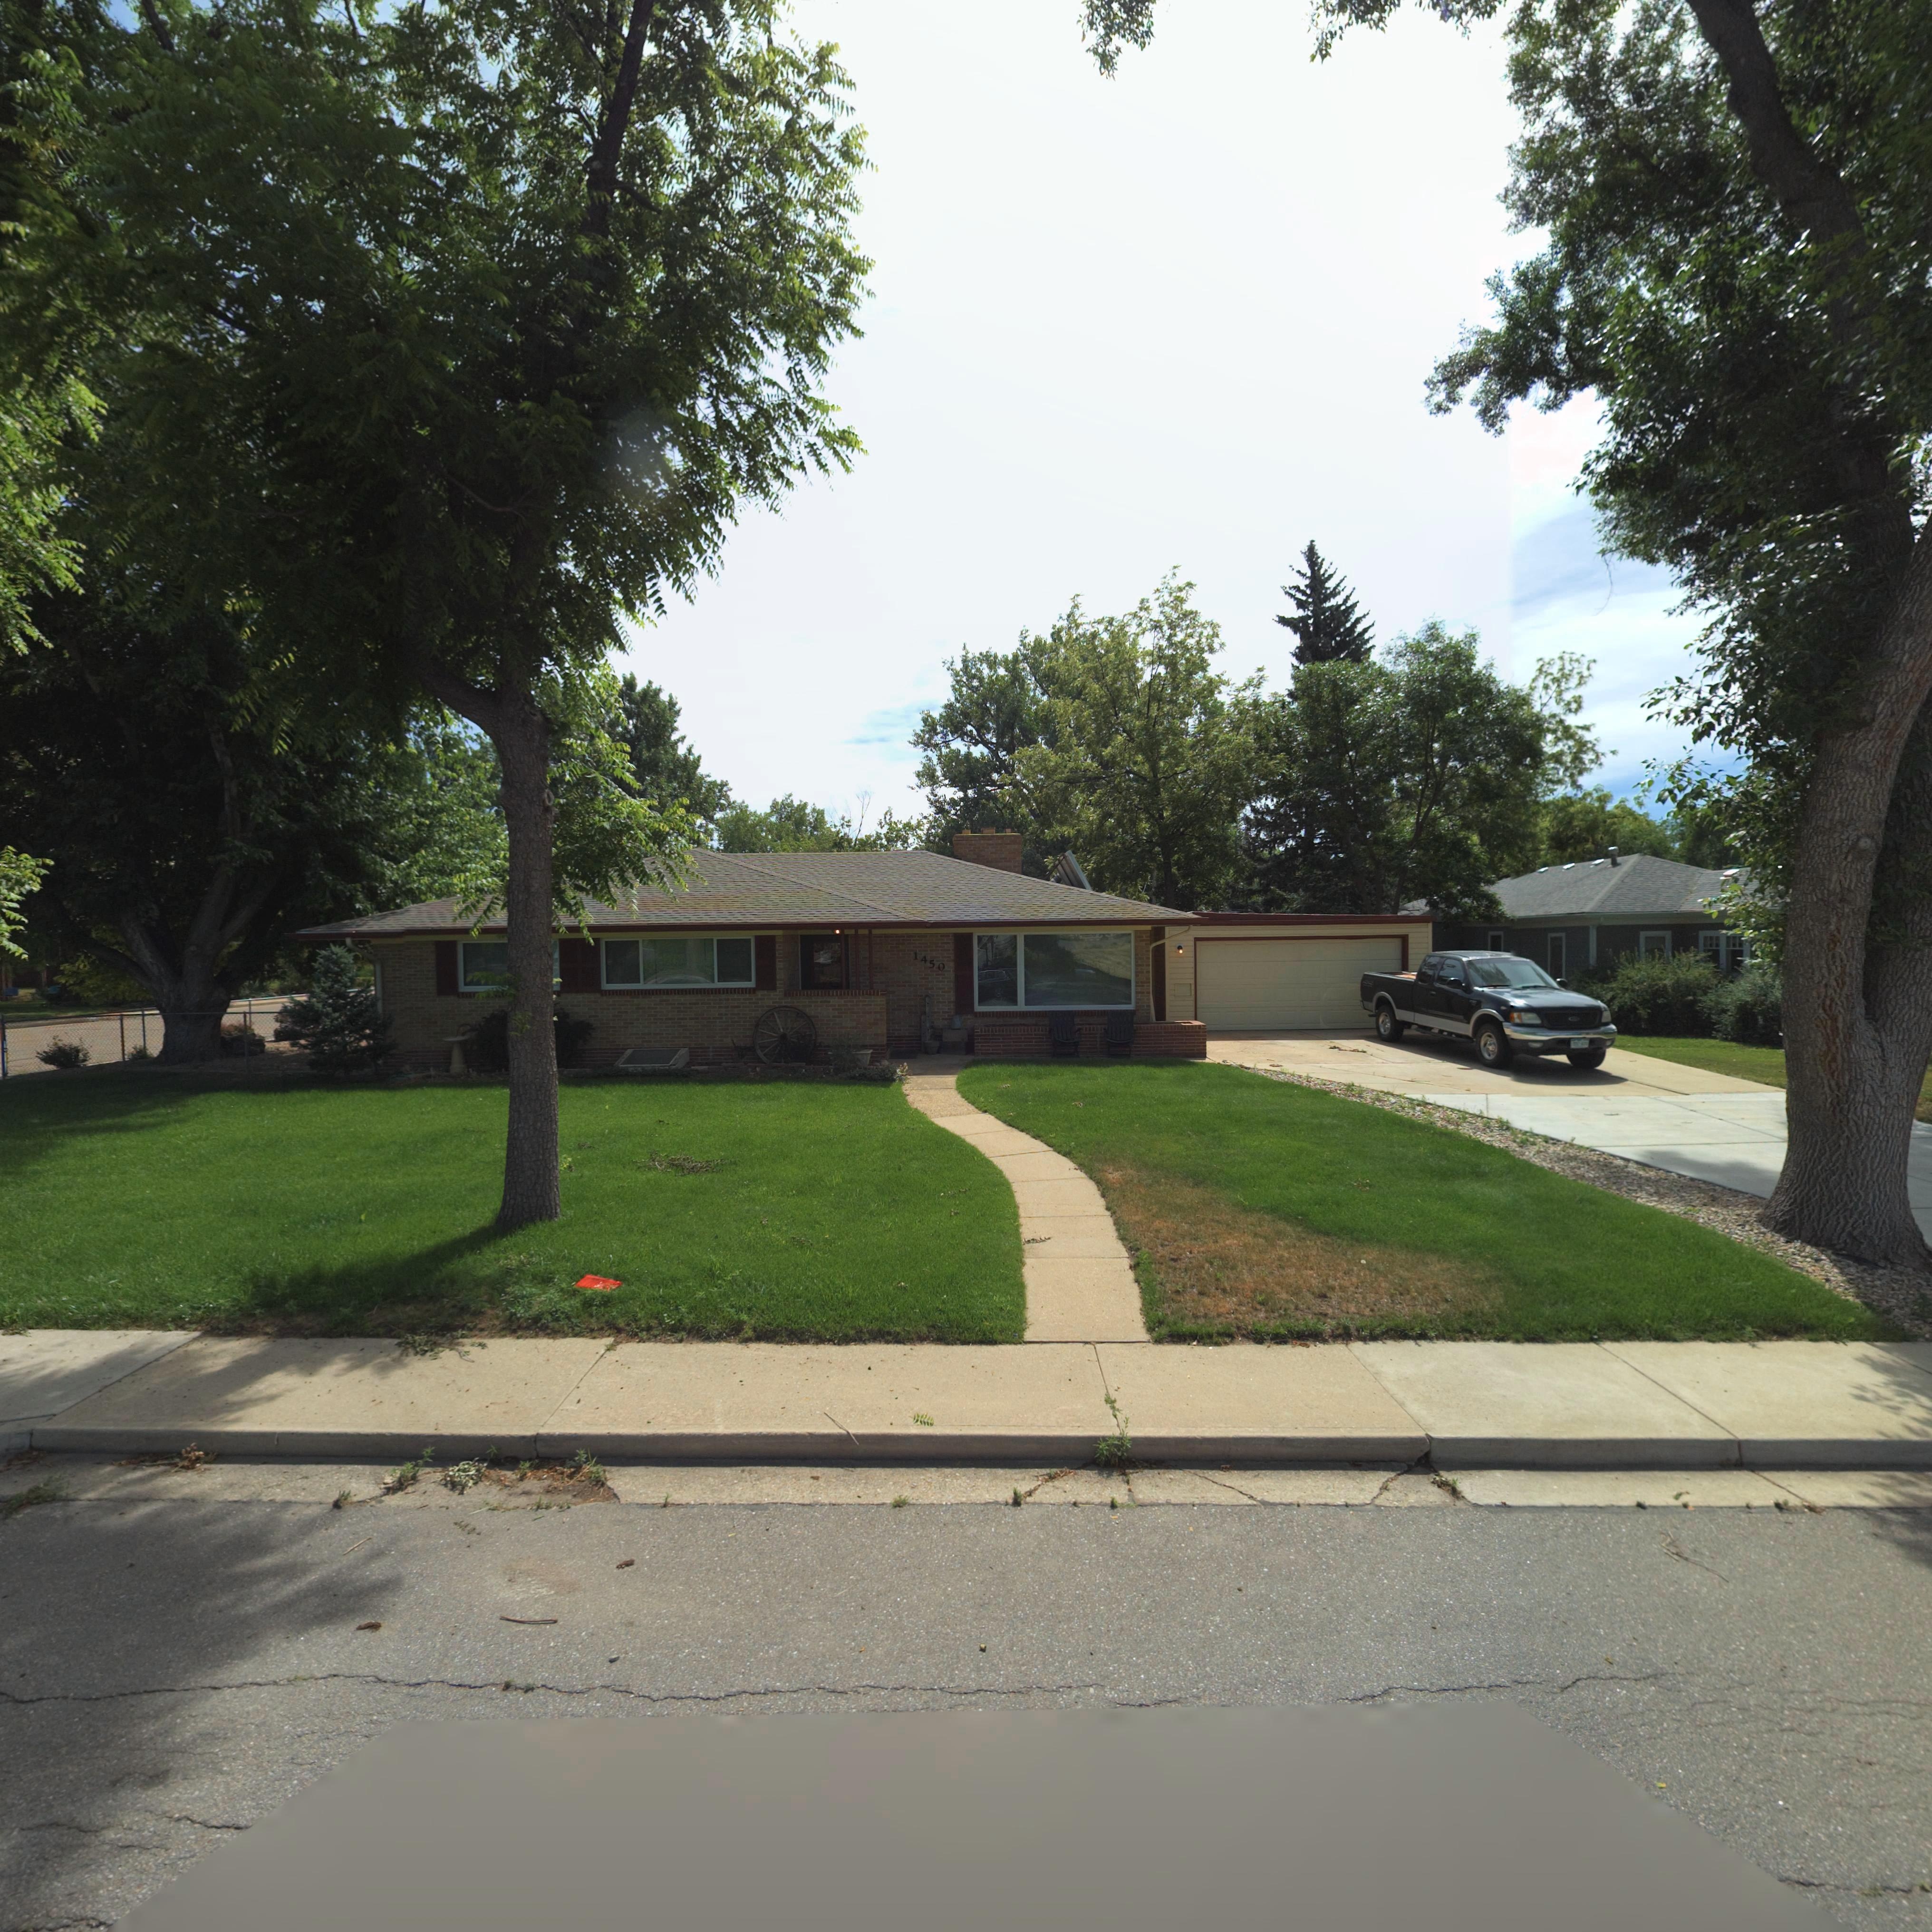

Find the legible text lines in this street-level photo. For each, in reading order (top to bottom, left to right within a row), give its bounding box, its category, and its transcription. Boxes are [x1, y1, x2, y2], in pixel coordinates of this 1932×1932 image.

[912, 950, 945, 972] StreetNumber: 1450